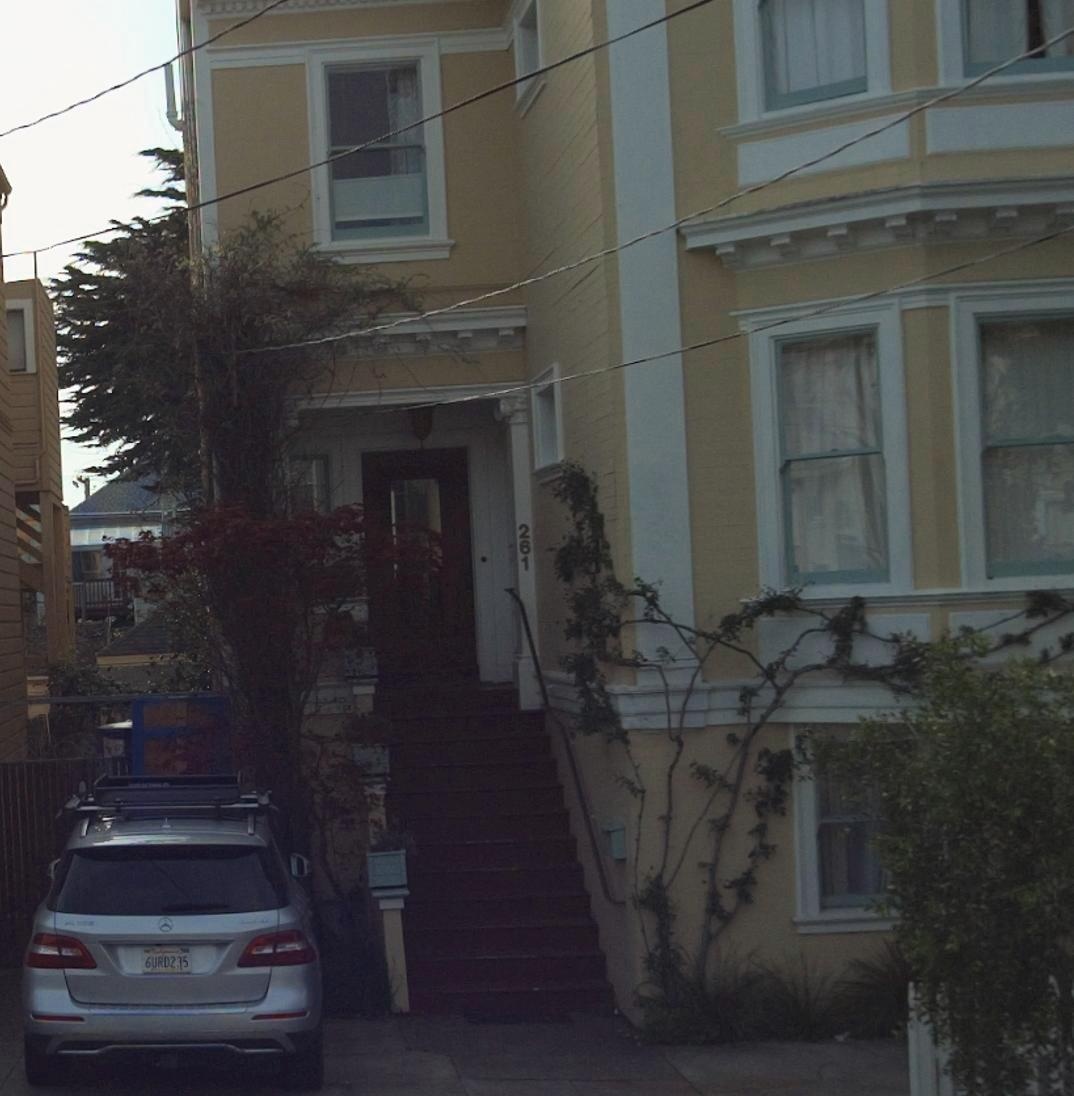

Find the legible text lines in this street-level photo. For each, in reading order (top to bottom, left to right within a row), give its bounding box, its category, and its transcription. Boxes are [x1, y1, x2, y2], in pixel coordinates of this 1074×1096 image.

[517, 523, 533, 572] StreetNumber: 261
[144, 955, 189, 968] None: 6URD2*5